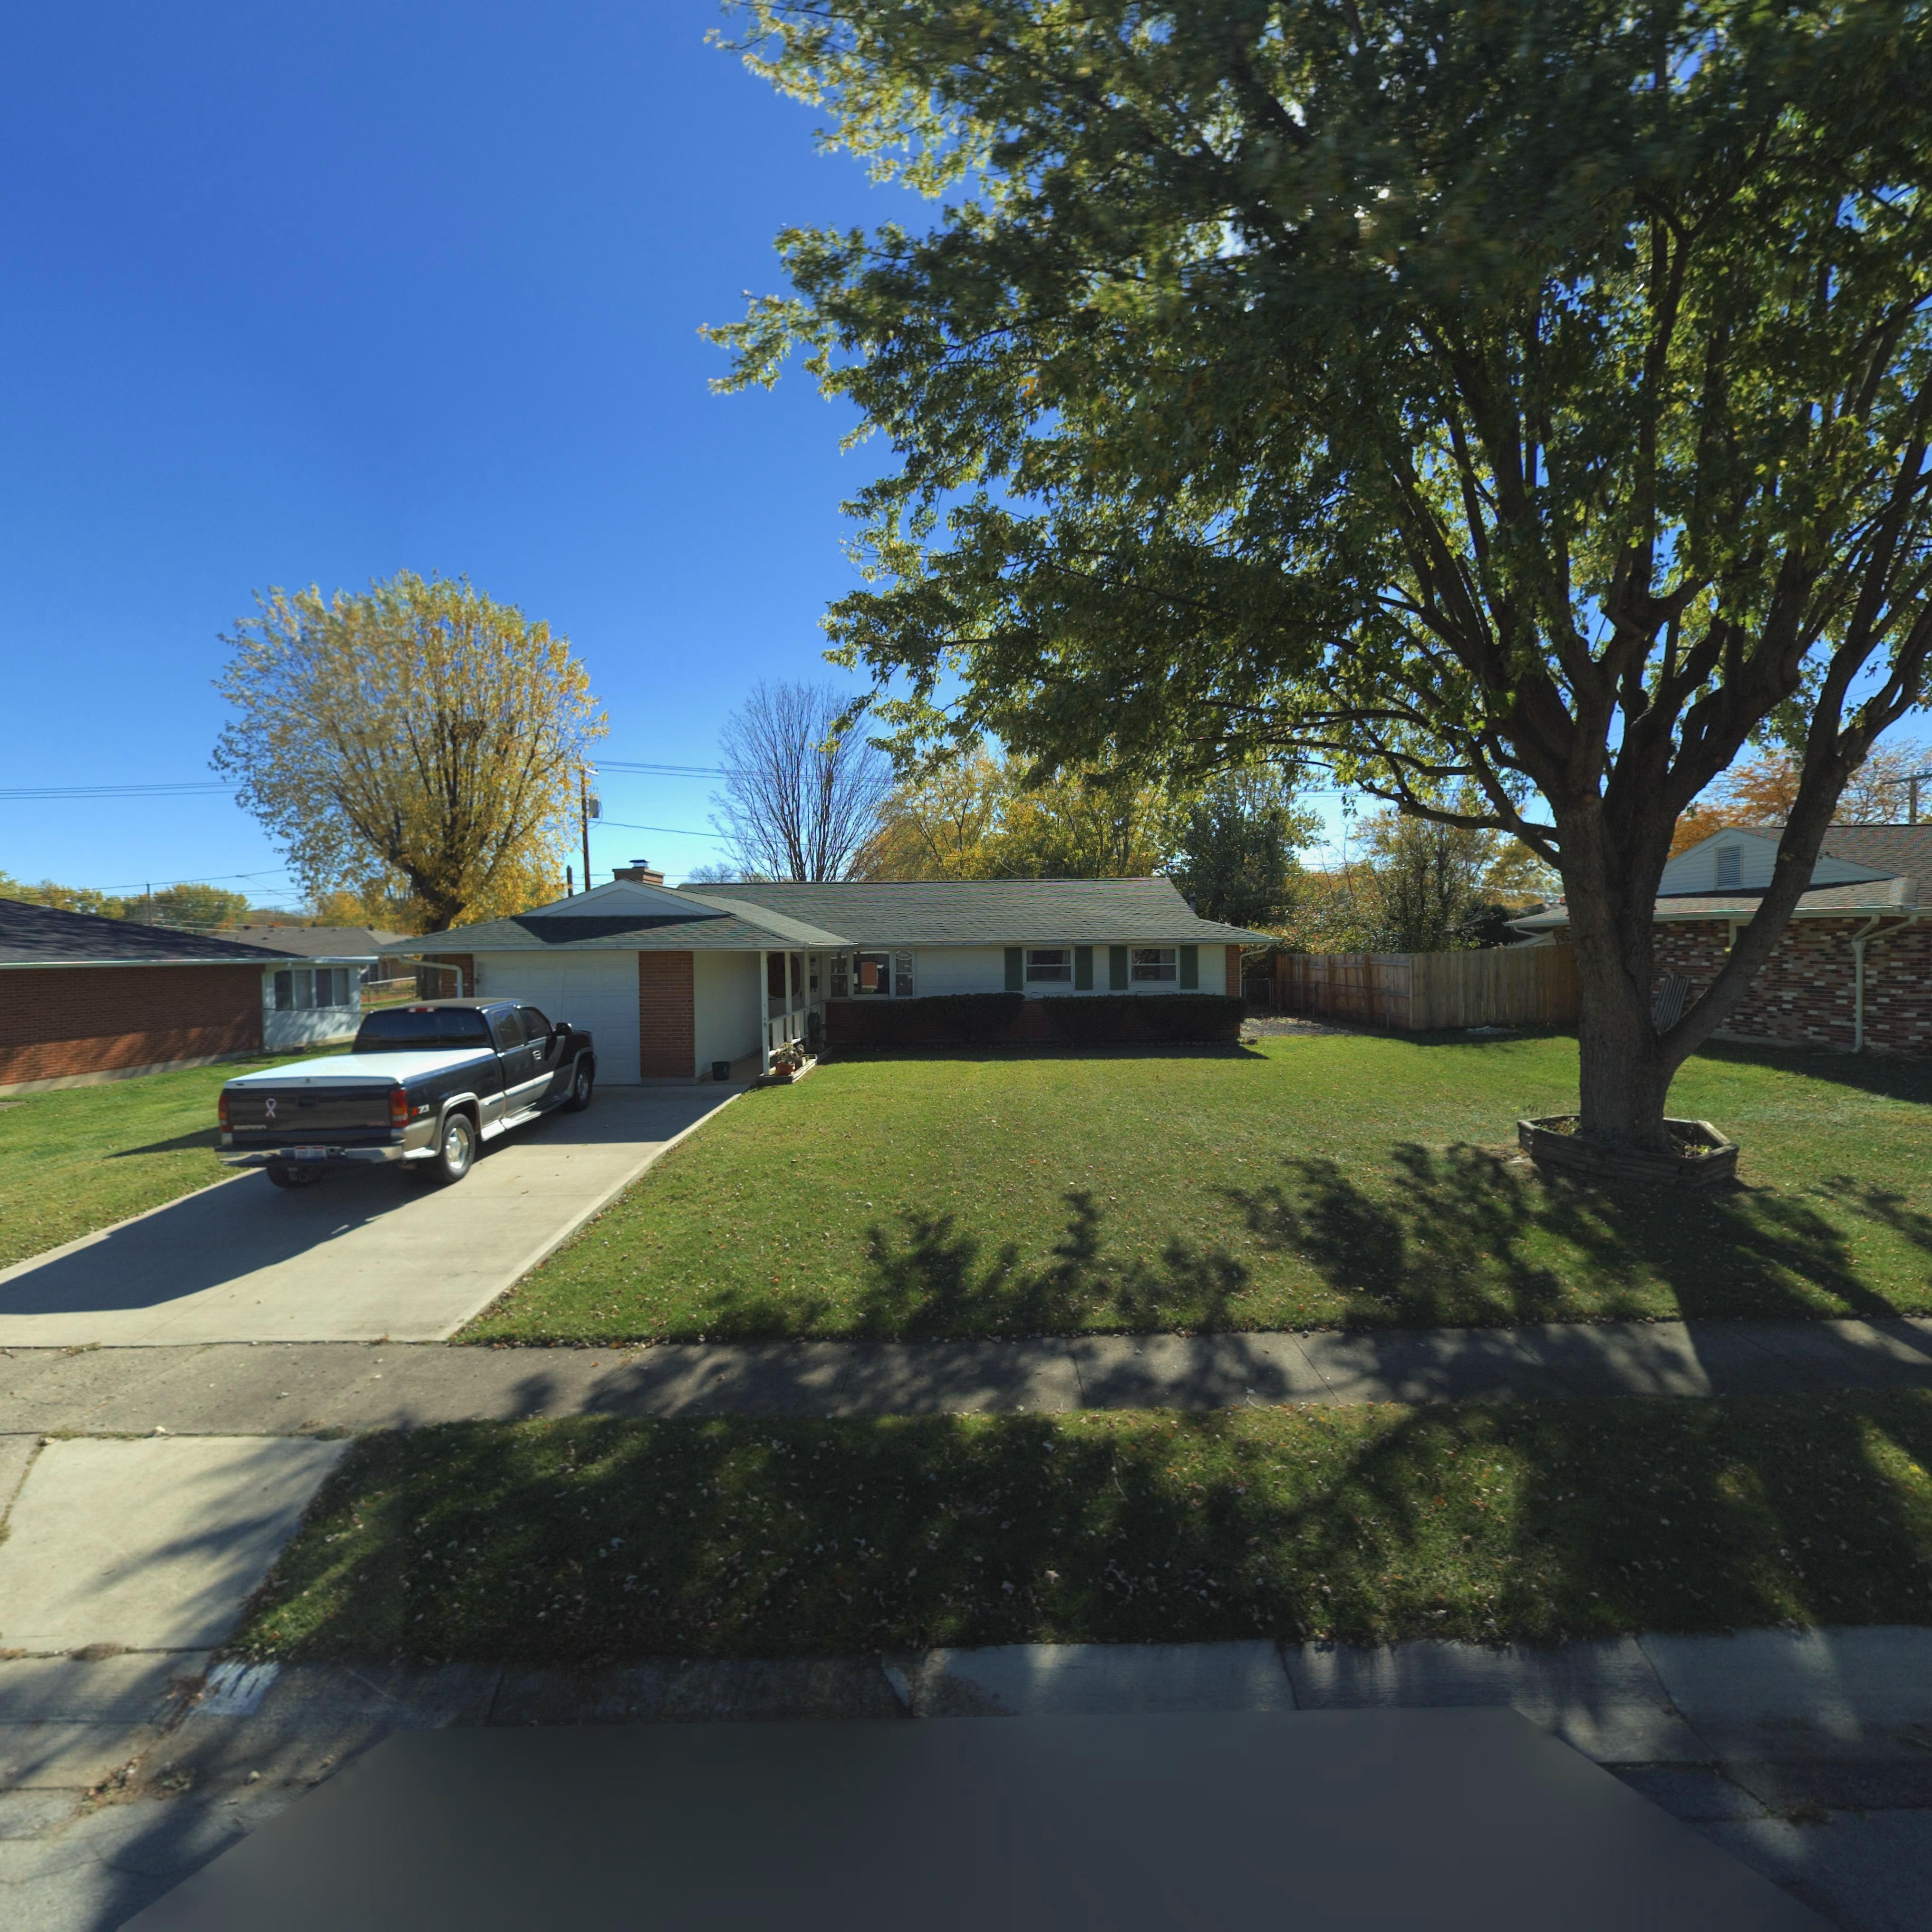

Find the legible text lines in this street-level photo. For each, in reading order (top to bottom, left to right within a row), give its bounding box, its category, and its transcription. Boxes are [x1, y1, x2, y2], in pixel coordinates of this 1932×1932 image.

[208, 1674, 262, 1701] StreetNumber: 411